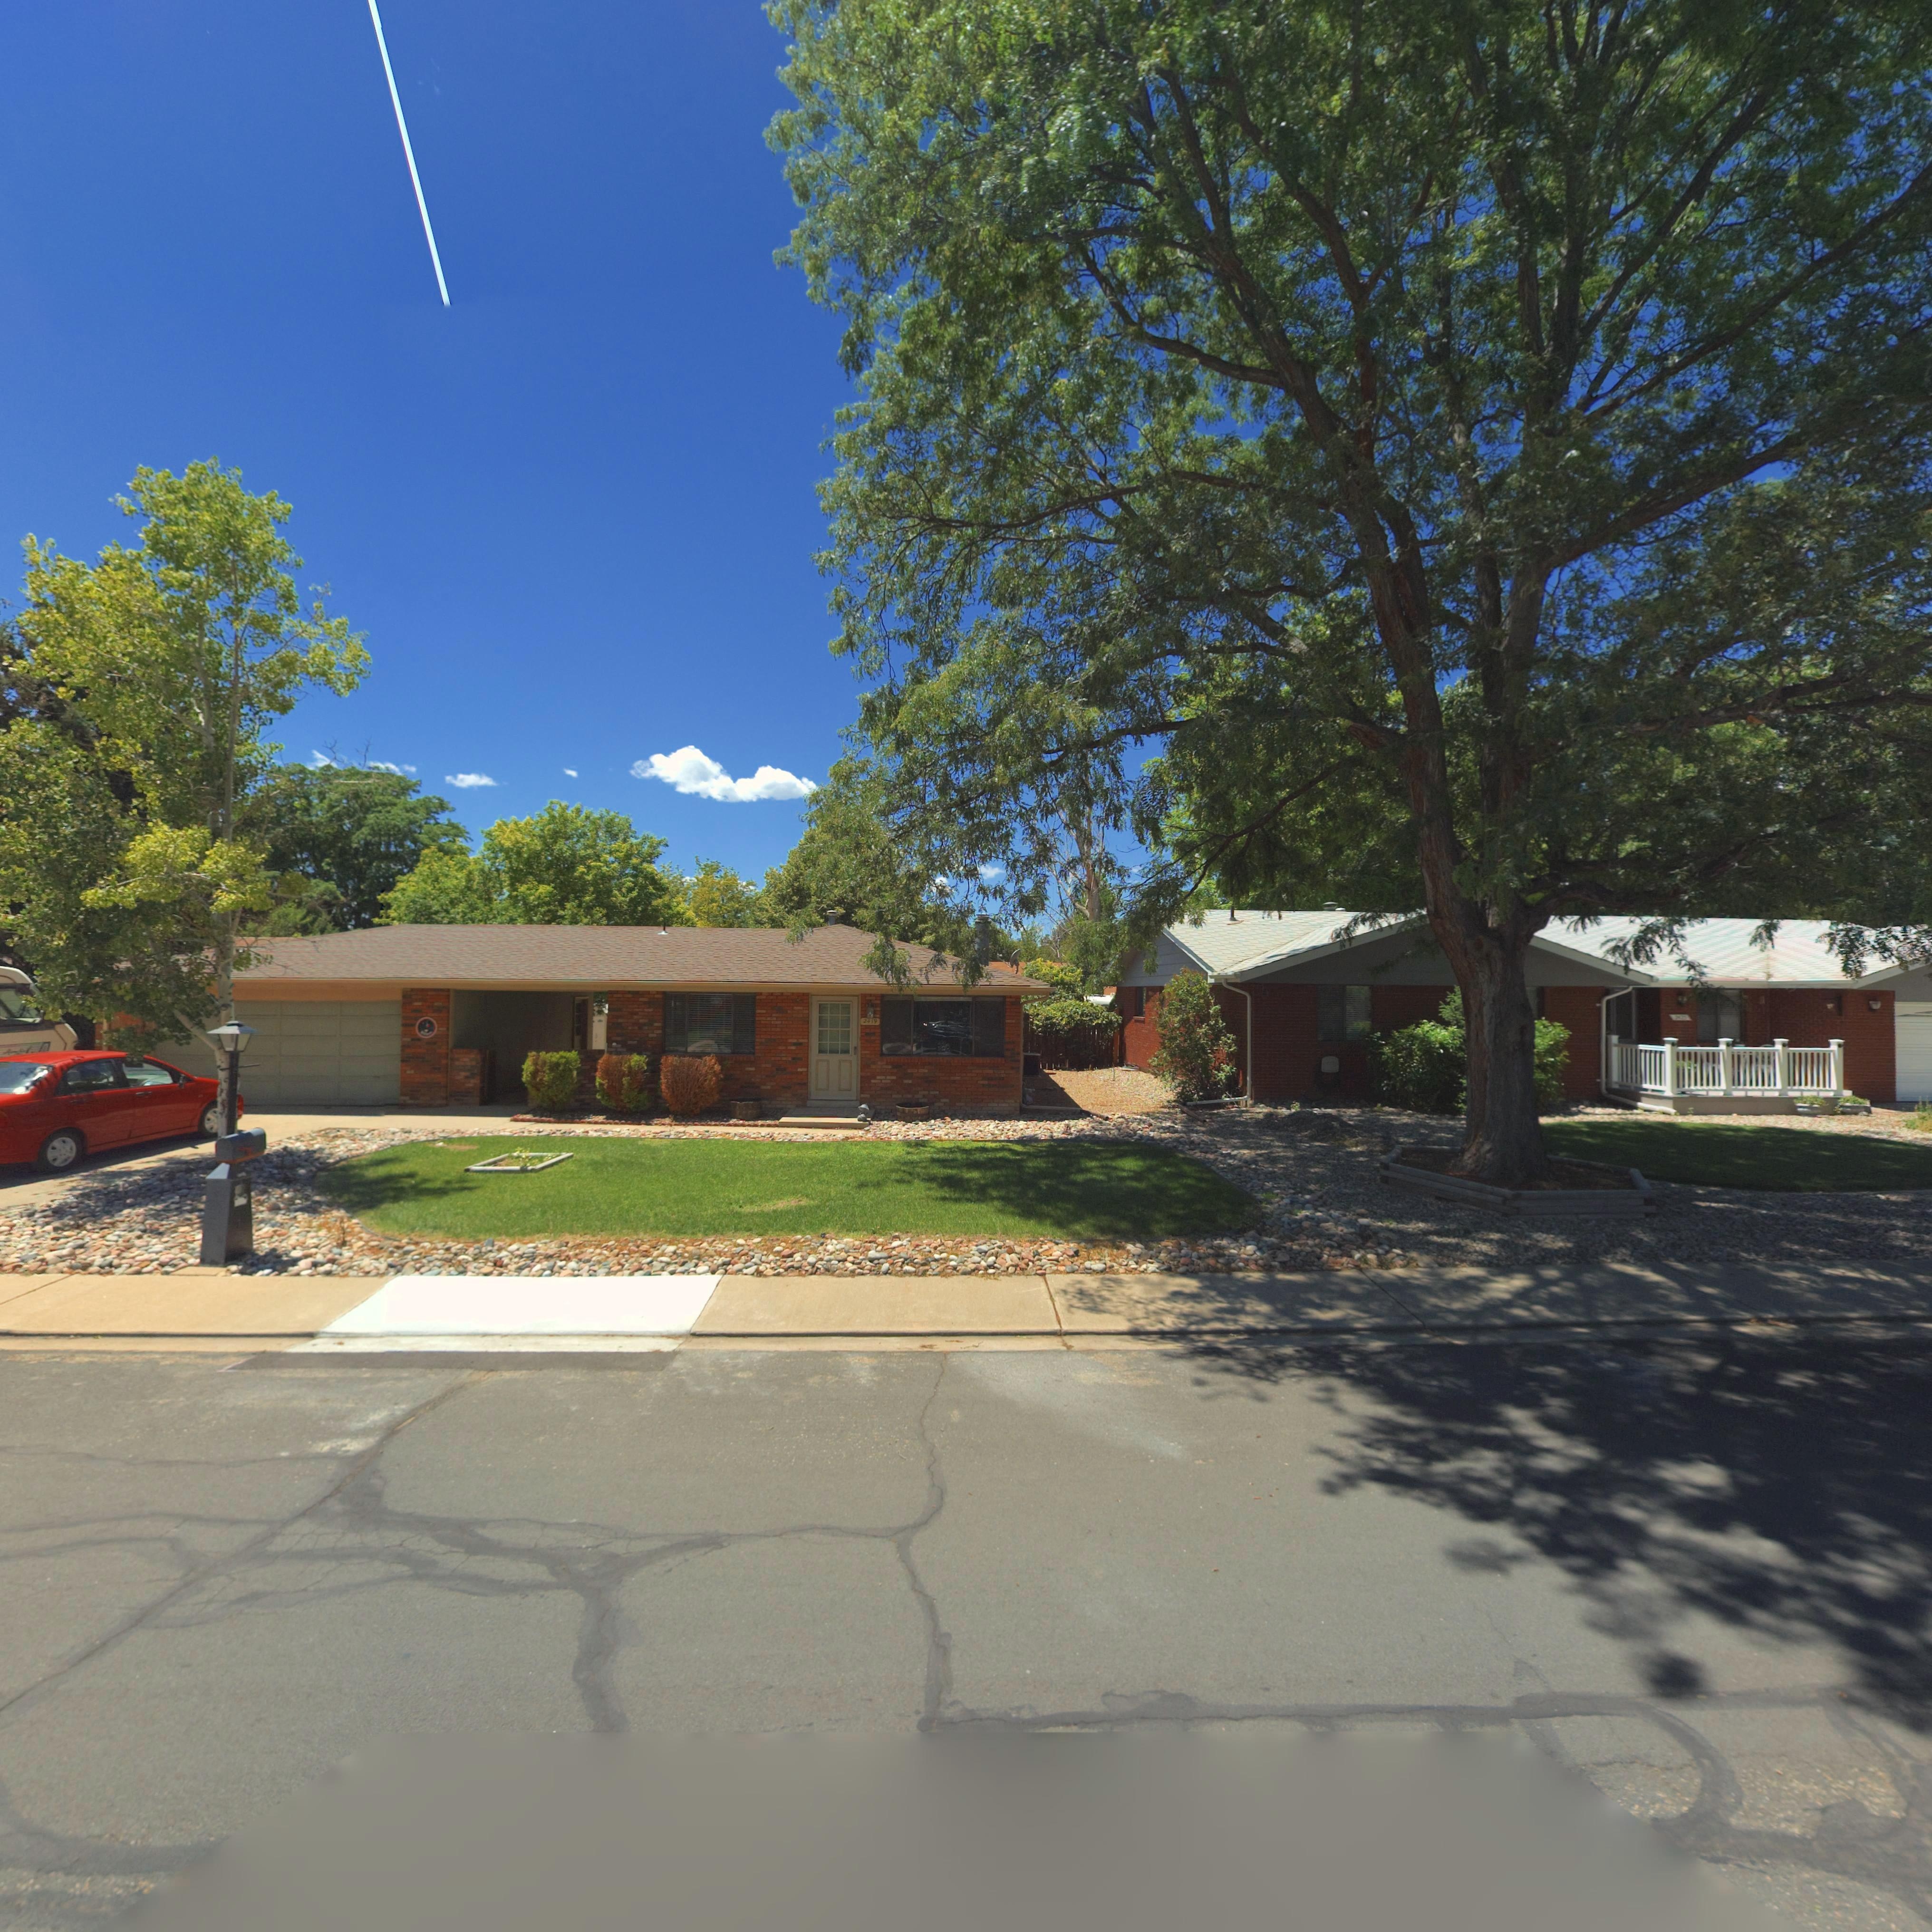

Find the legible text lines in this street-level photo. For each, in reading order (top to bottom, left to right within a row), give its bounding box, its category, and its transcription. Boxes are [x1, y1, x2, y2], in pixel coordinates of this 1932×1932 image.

[1674, 1015, 1688, 1019] BusinessName: 2425
[863, 1018, 877, 1024] StreetNumber: 2419